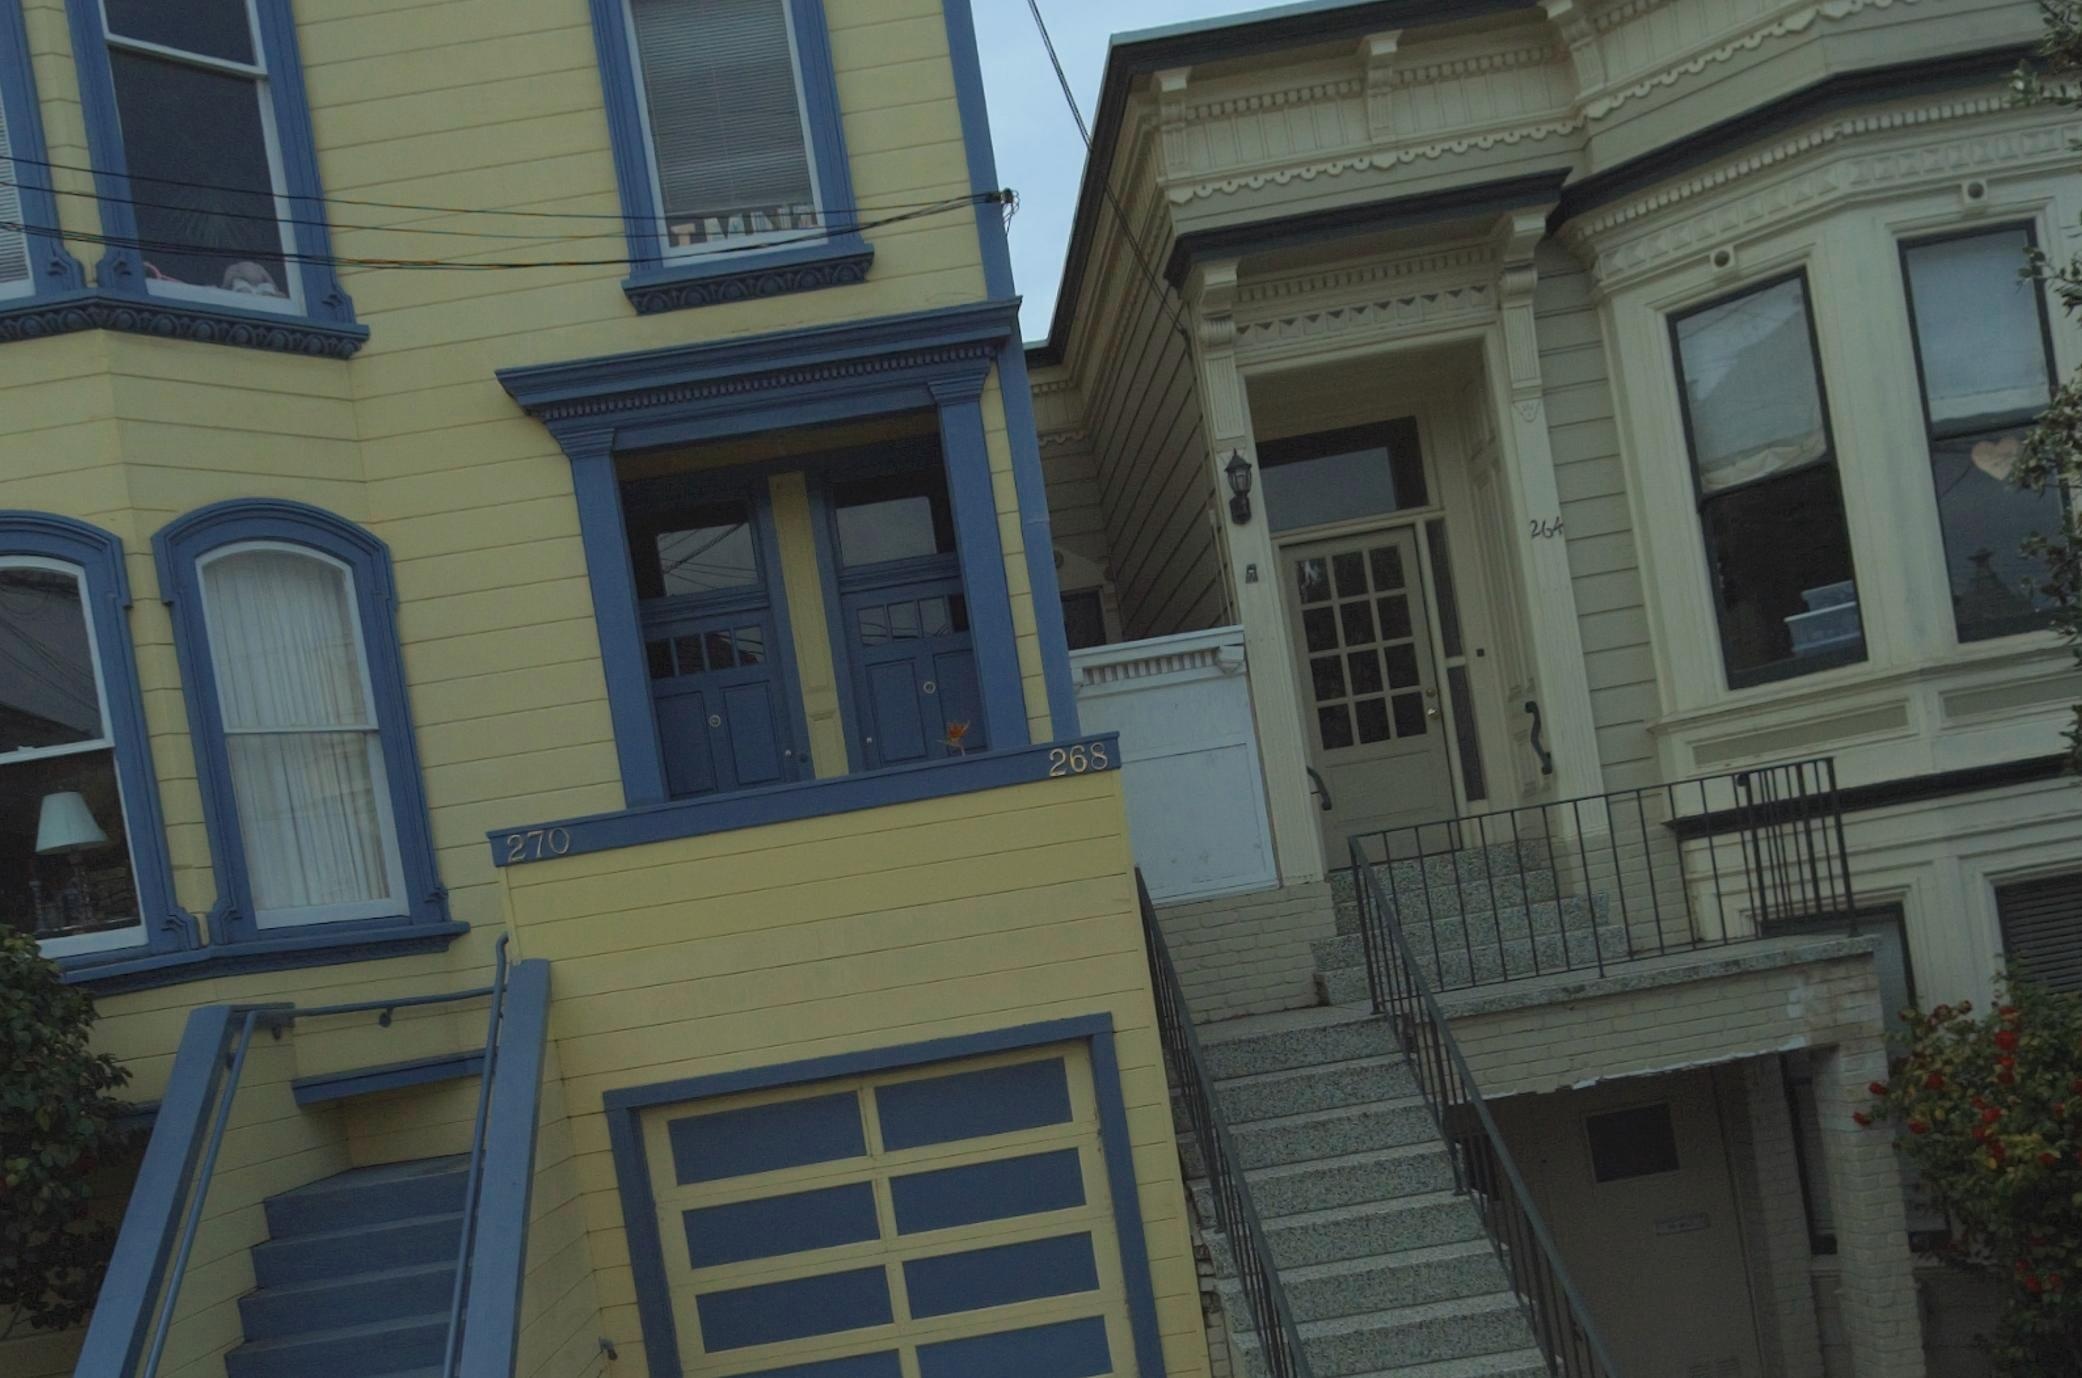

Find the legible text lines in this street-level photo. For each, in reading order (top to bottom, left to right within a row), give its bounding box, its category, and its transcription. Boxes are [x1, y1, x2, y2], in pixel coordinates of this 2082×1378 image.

[1527, 514, 1565, 541] StreetNumber: 264
[1046, 739, 1110, 778] StreetNumber: 268
[505, 825, 575, 864] StreetNumber: 270